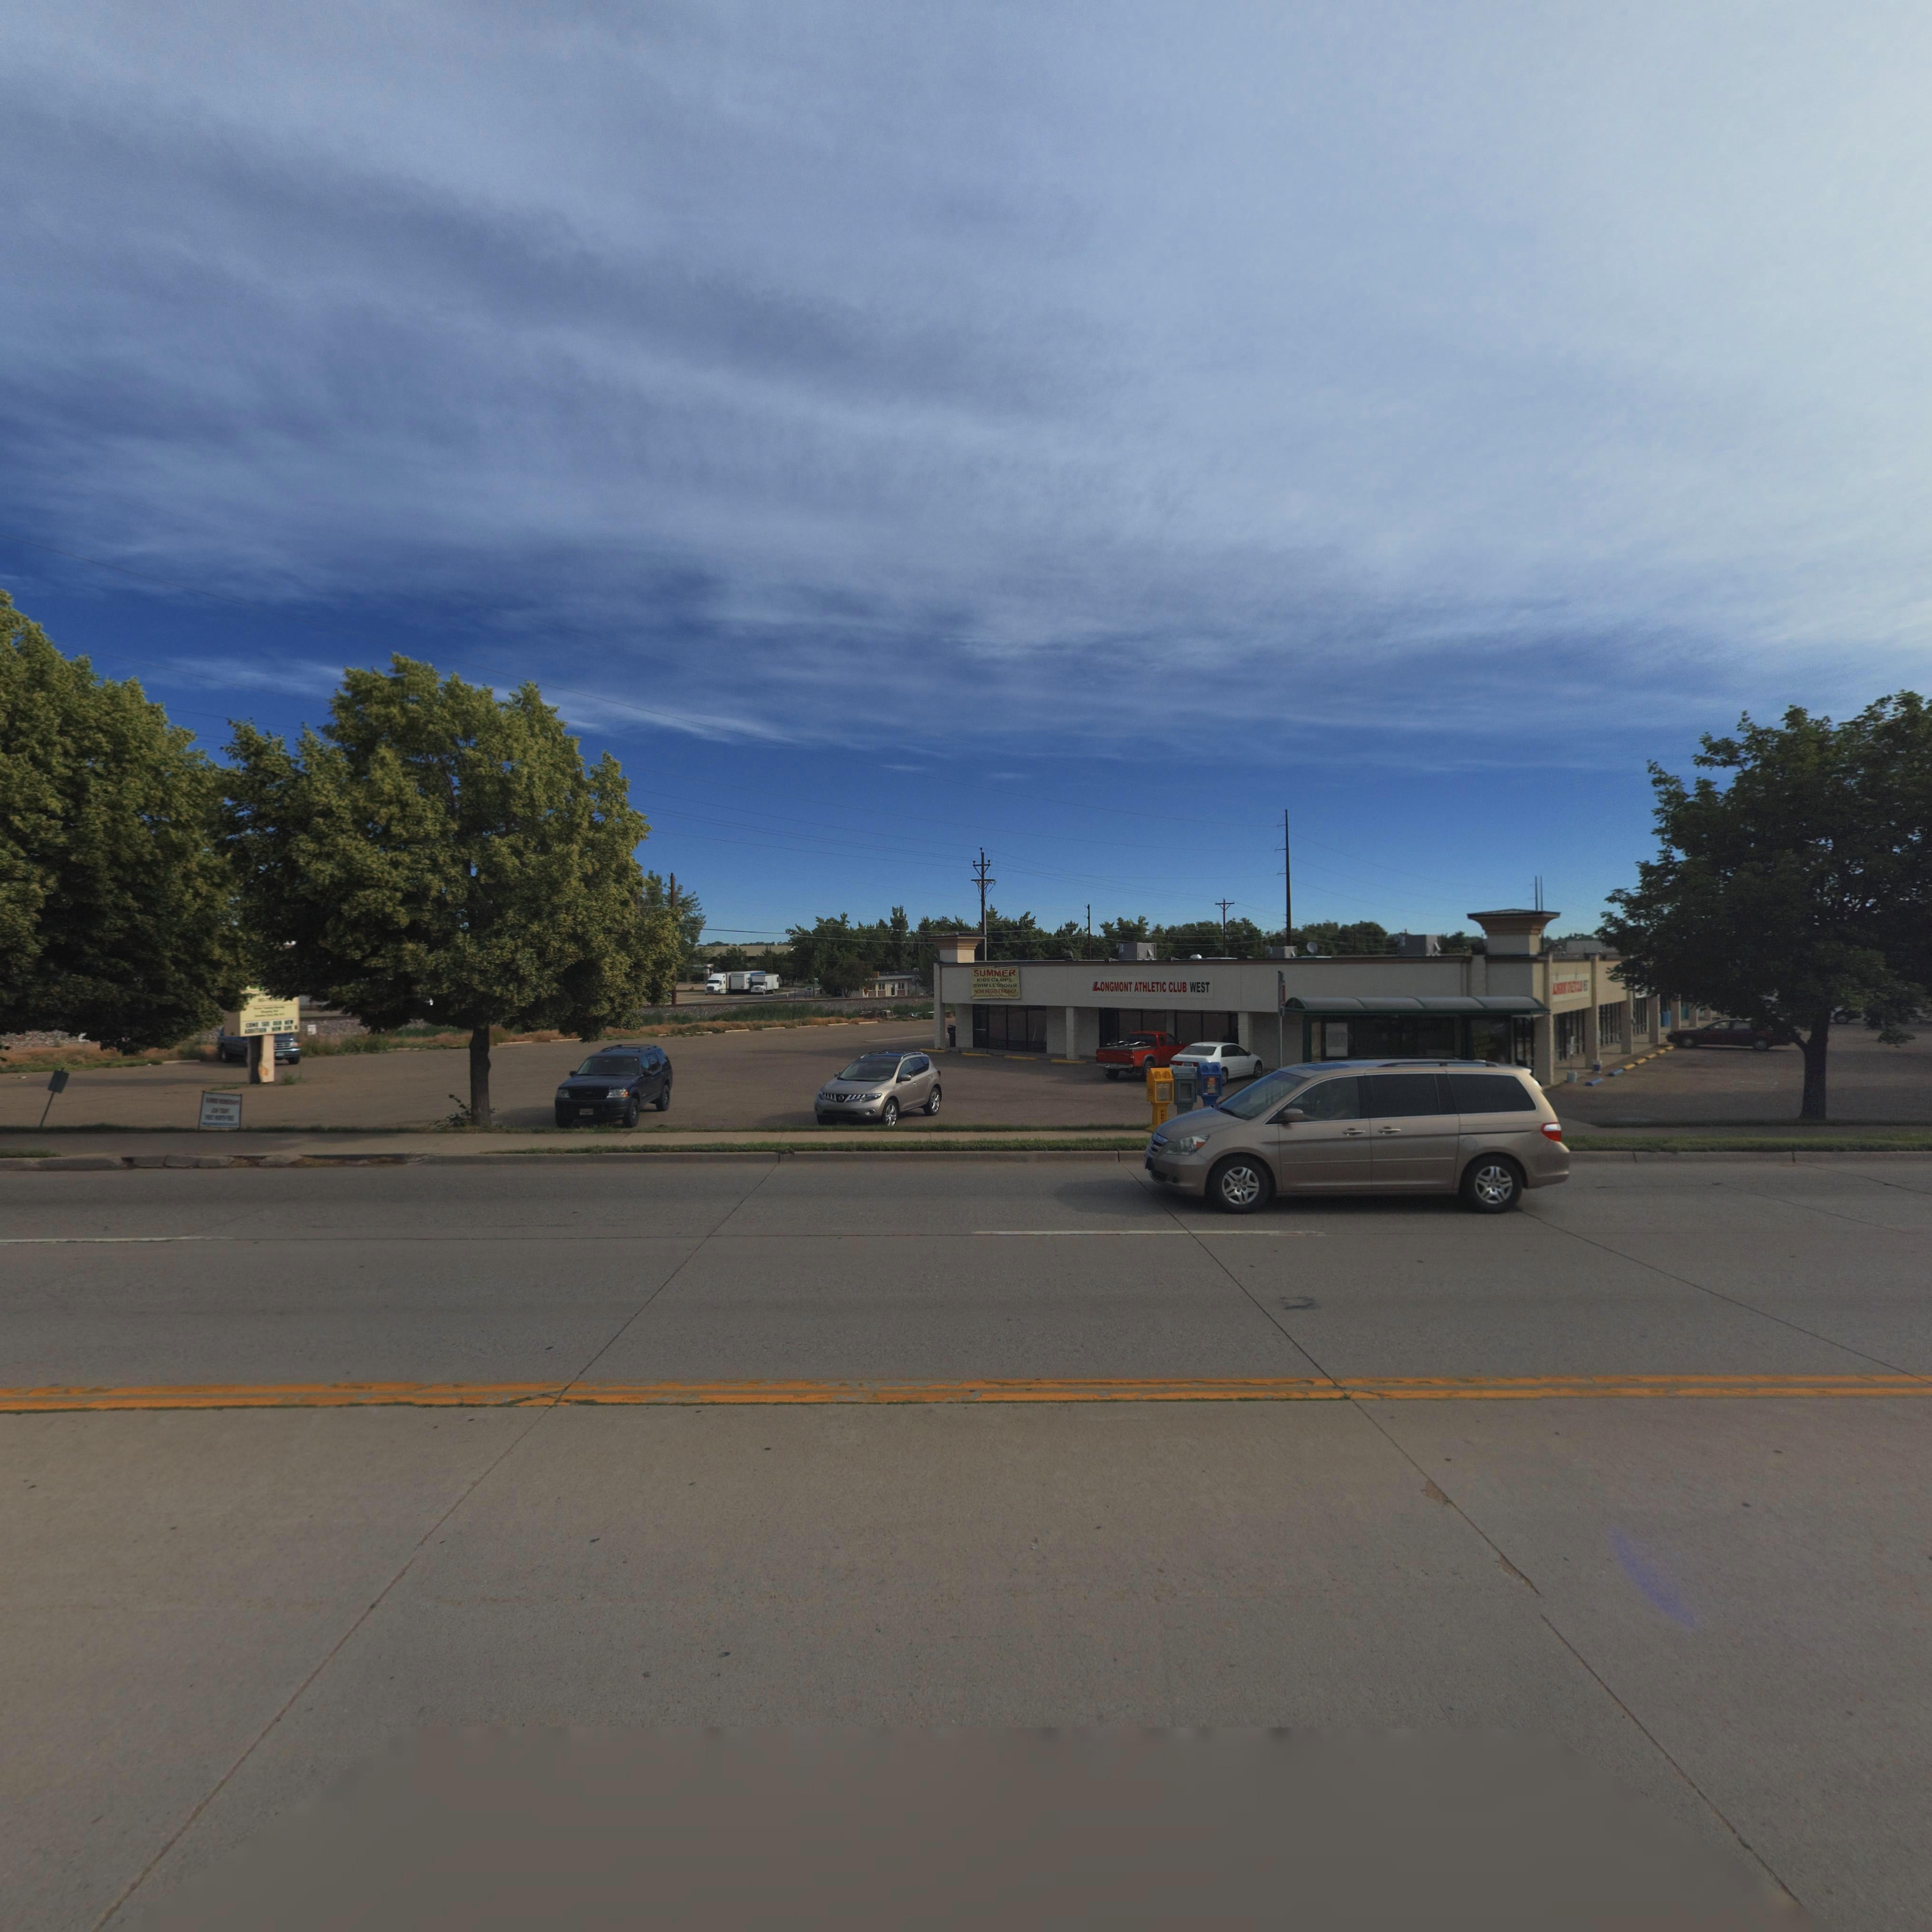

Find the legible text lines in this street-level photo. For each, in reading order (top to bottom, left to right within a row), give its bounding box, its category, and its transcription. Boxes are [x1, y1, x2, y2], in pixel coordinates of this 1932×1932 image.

[1092, 981, 1210, 993] BusinessName: LONGMONT ATHLETIC CLUB WEST